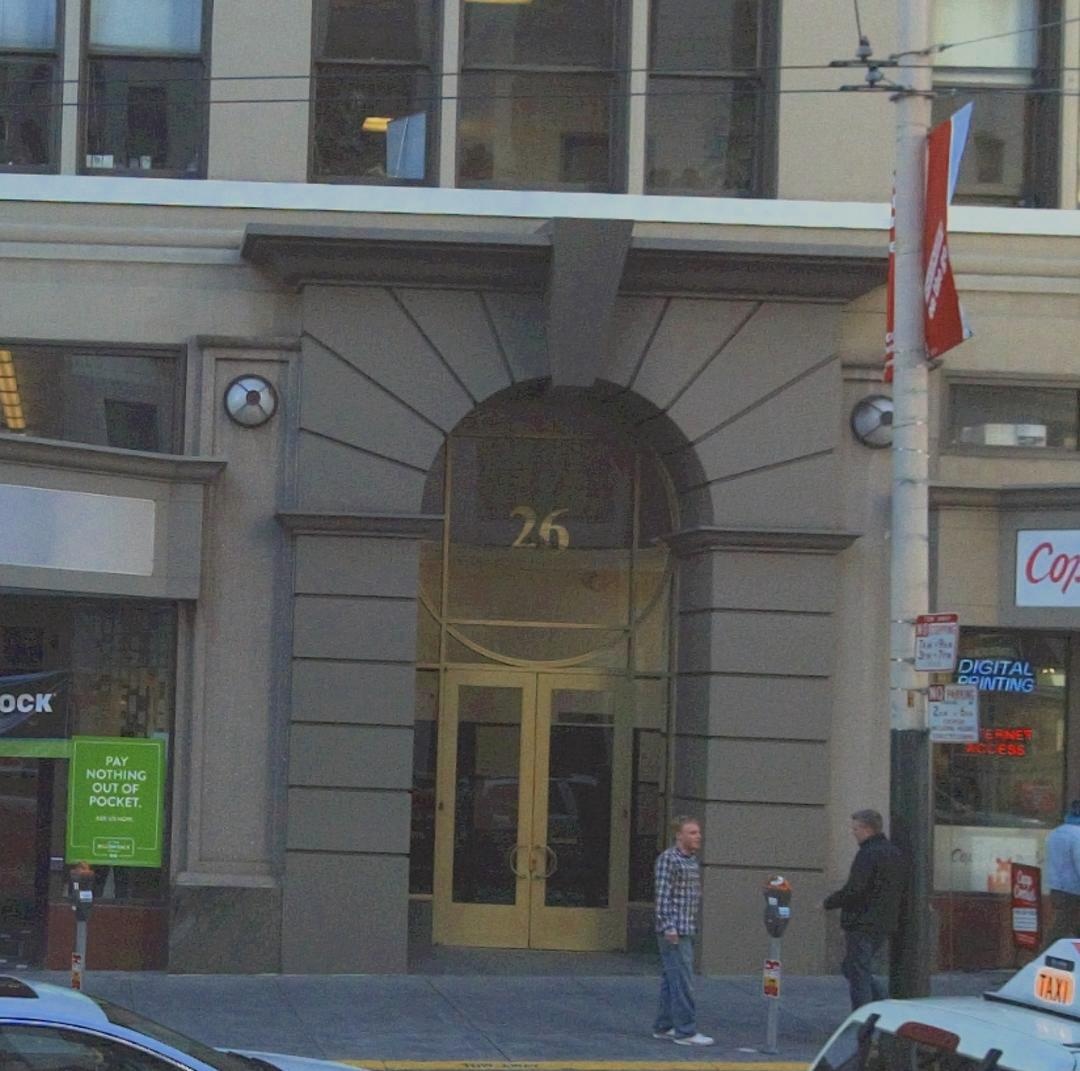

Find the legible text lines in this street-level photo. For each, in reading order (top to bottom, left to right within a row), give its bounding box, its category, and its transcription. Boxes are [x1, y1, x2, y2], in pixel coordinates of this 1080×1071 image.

[507, 503, 572, 557] StreetNumber: 26
[1024, 541, 1080, 594] None: Co*
[922, 615, 953, 624] None: TOW AWAY
[916, 624, 958, 636] None: NO STOPPING
[917, 637, 955, 650] None: 7AM - 9AM
[916, 649, 954, 661] None: 3PM - *PM
[957, 657, 1035, 675] None: DIGITAL
[957, 675, 1035, 693] None: **INTING
[928, 687, 977, 702] None: NO PARKING
[0, 693, 54, 714] None: OCK
[933, 706, 973, 717] None: 2am - 5pm
[983, 728, 1033, 741] None: ERNET
[965, 742, 1026, 757] None: *CCESS
[105, 755, 129, 767] None: PAY
[86, 768, 147, 781] None: NOTHING
[92, 782, 140, 795] None: OUT OF
[89, 795, 142, 808] None: POCKET.
[1038, 972, 1069, 1005] None: TAXI
[459, 1061, 539, 1070] None: TOW AWAY